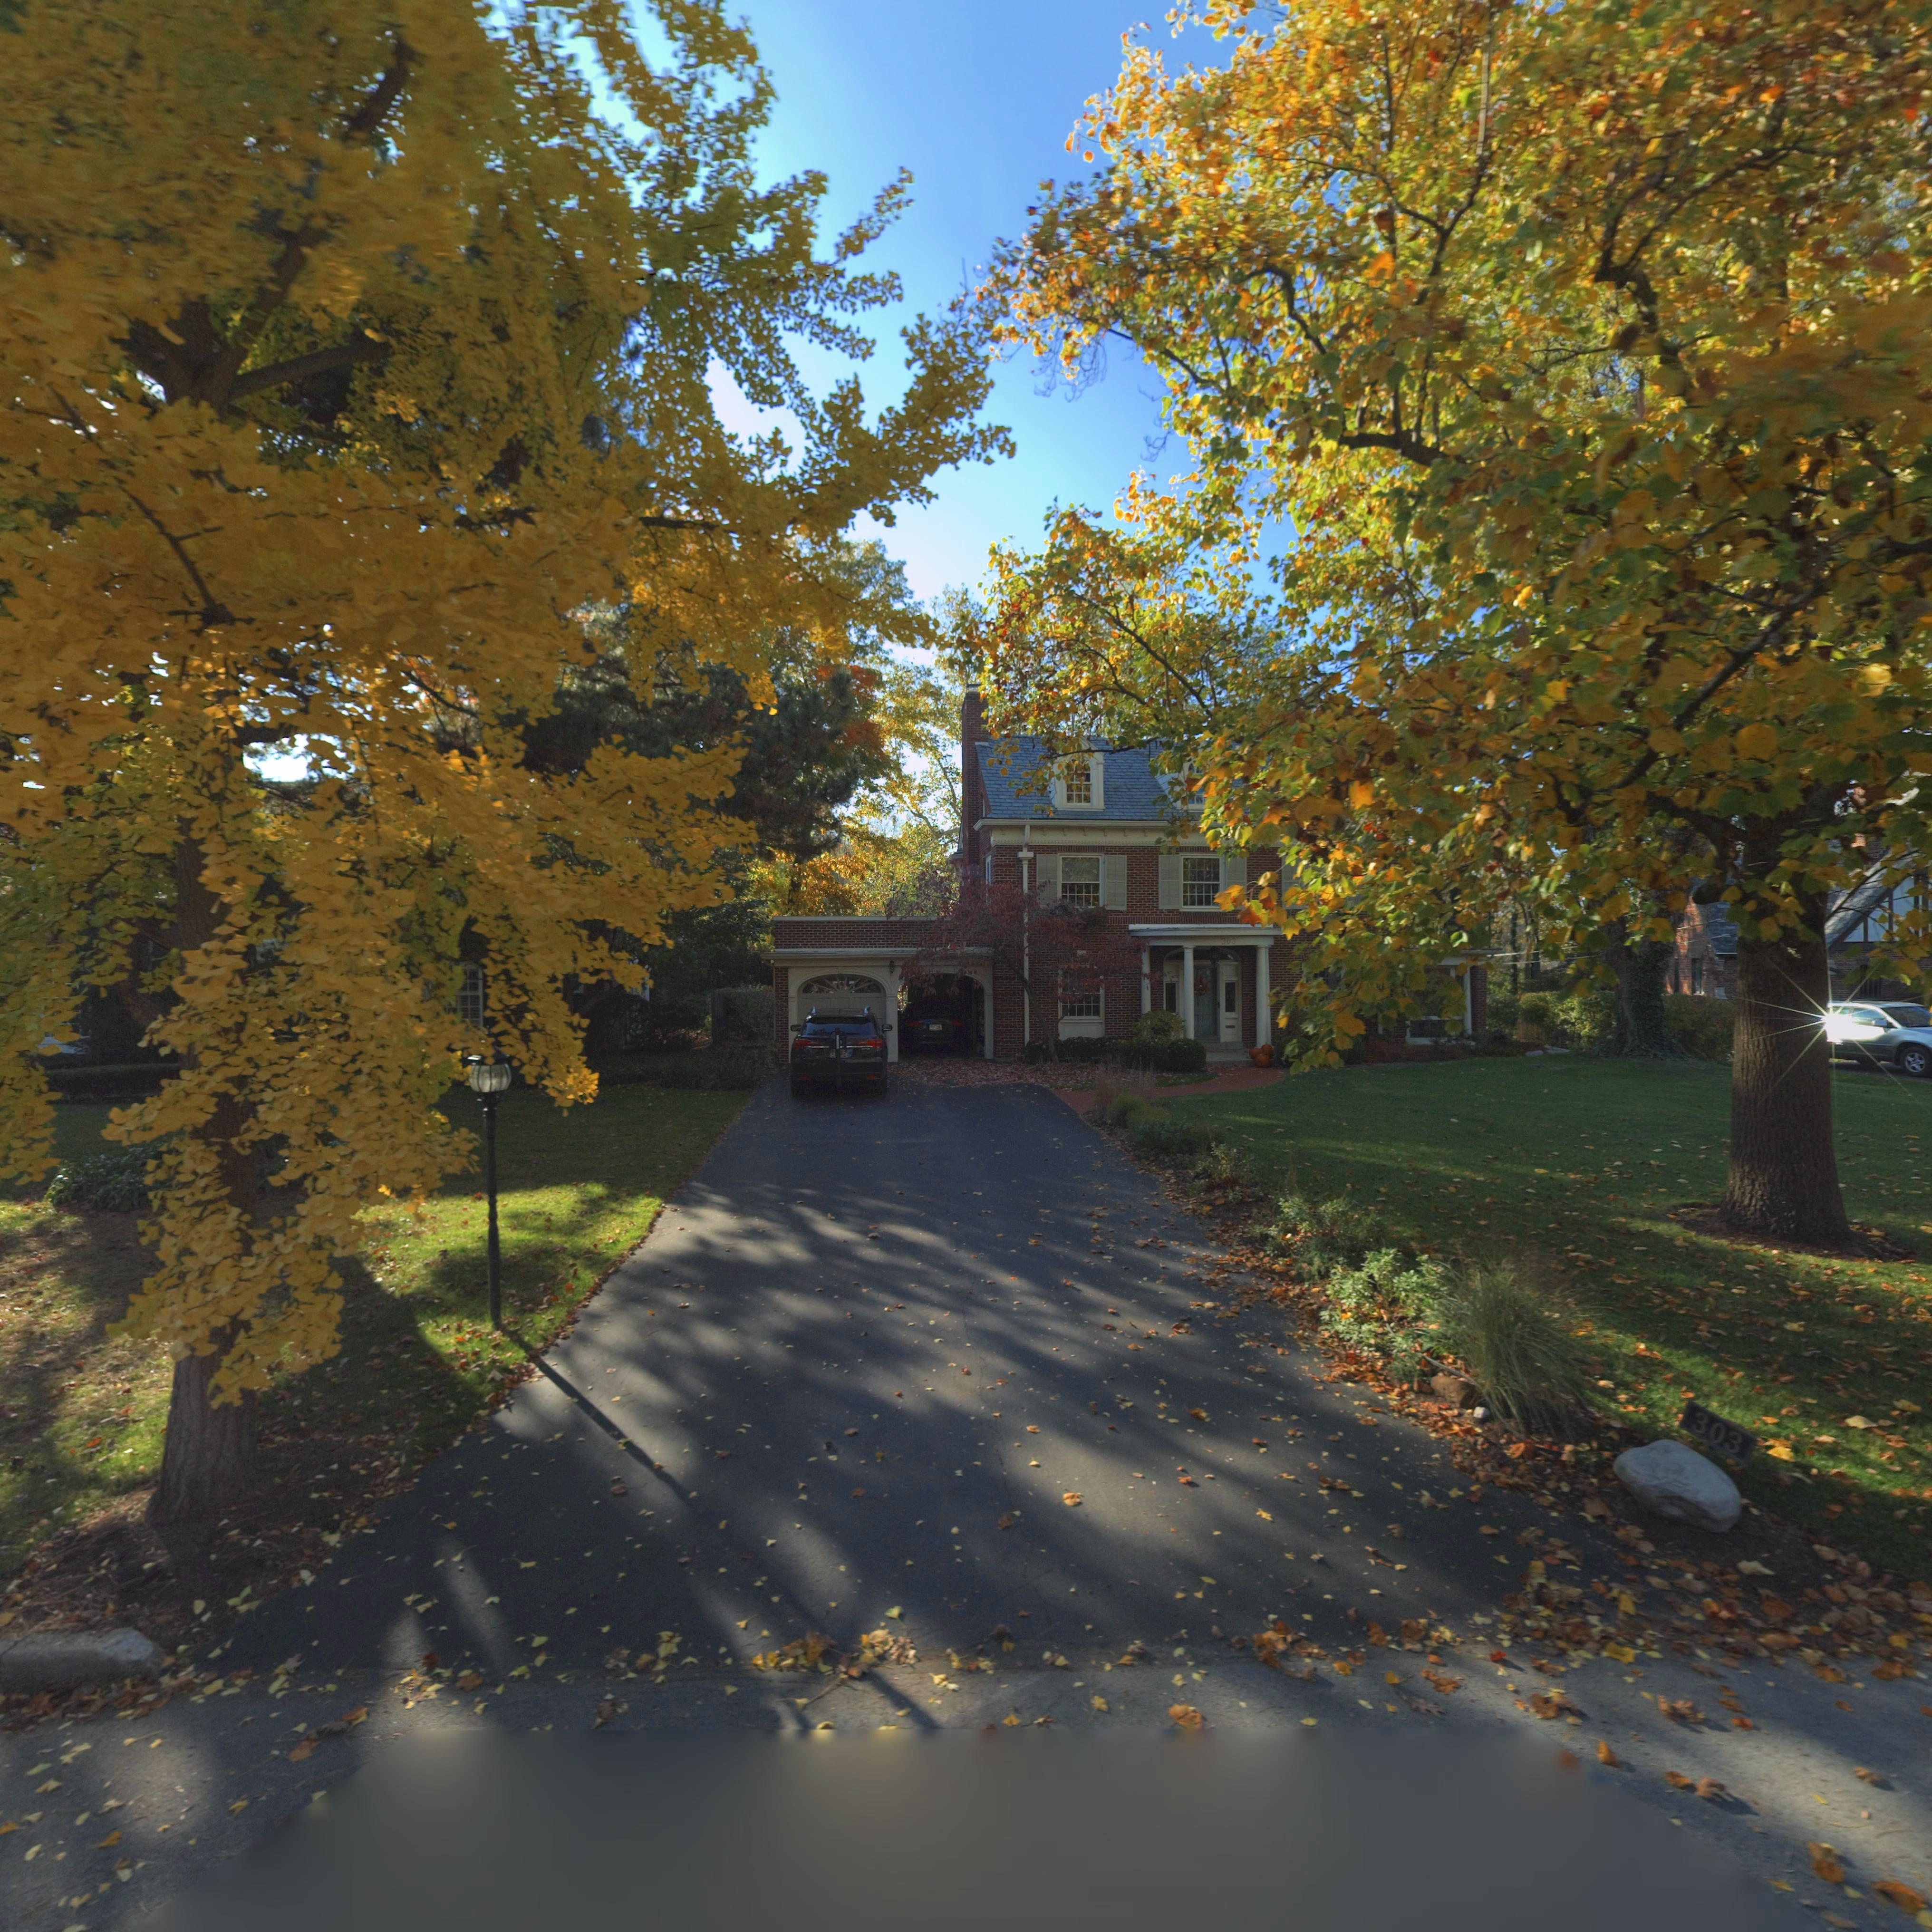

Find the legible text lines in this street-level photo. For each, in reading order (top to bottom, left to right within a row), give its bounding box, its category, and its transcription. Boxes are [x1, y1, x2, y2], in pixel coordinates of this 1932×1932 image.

[1220, 937, 1236, 946] StreetNumber: 303
[1689, 1409, 1747, 1458] StreetNumber: 303